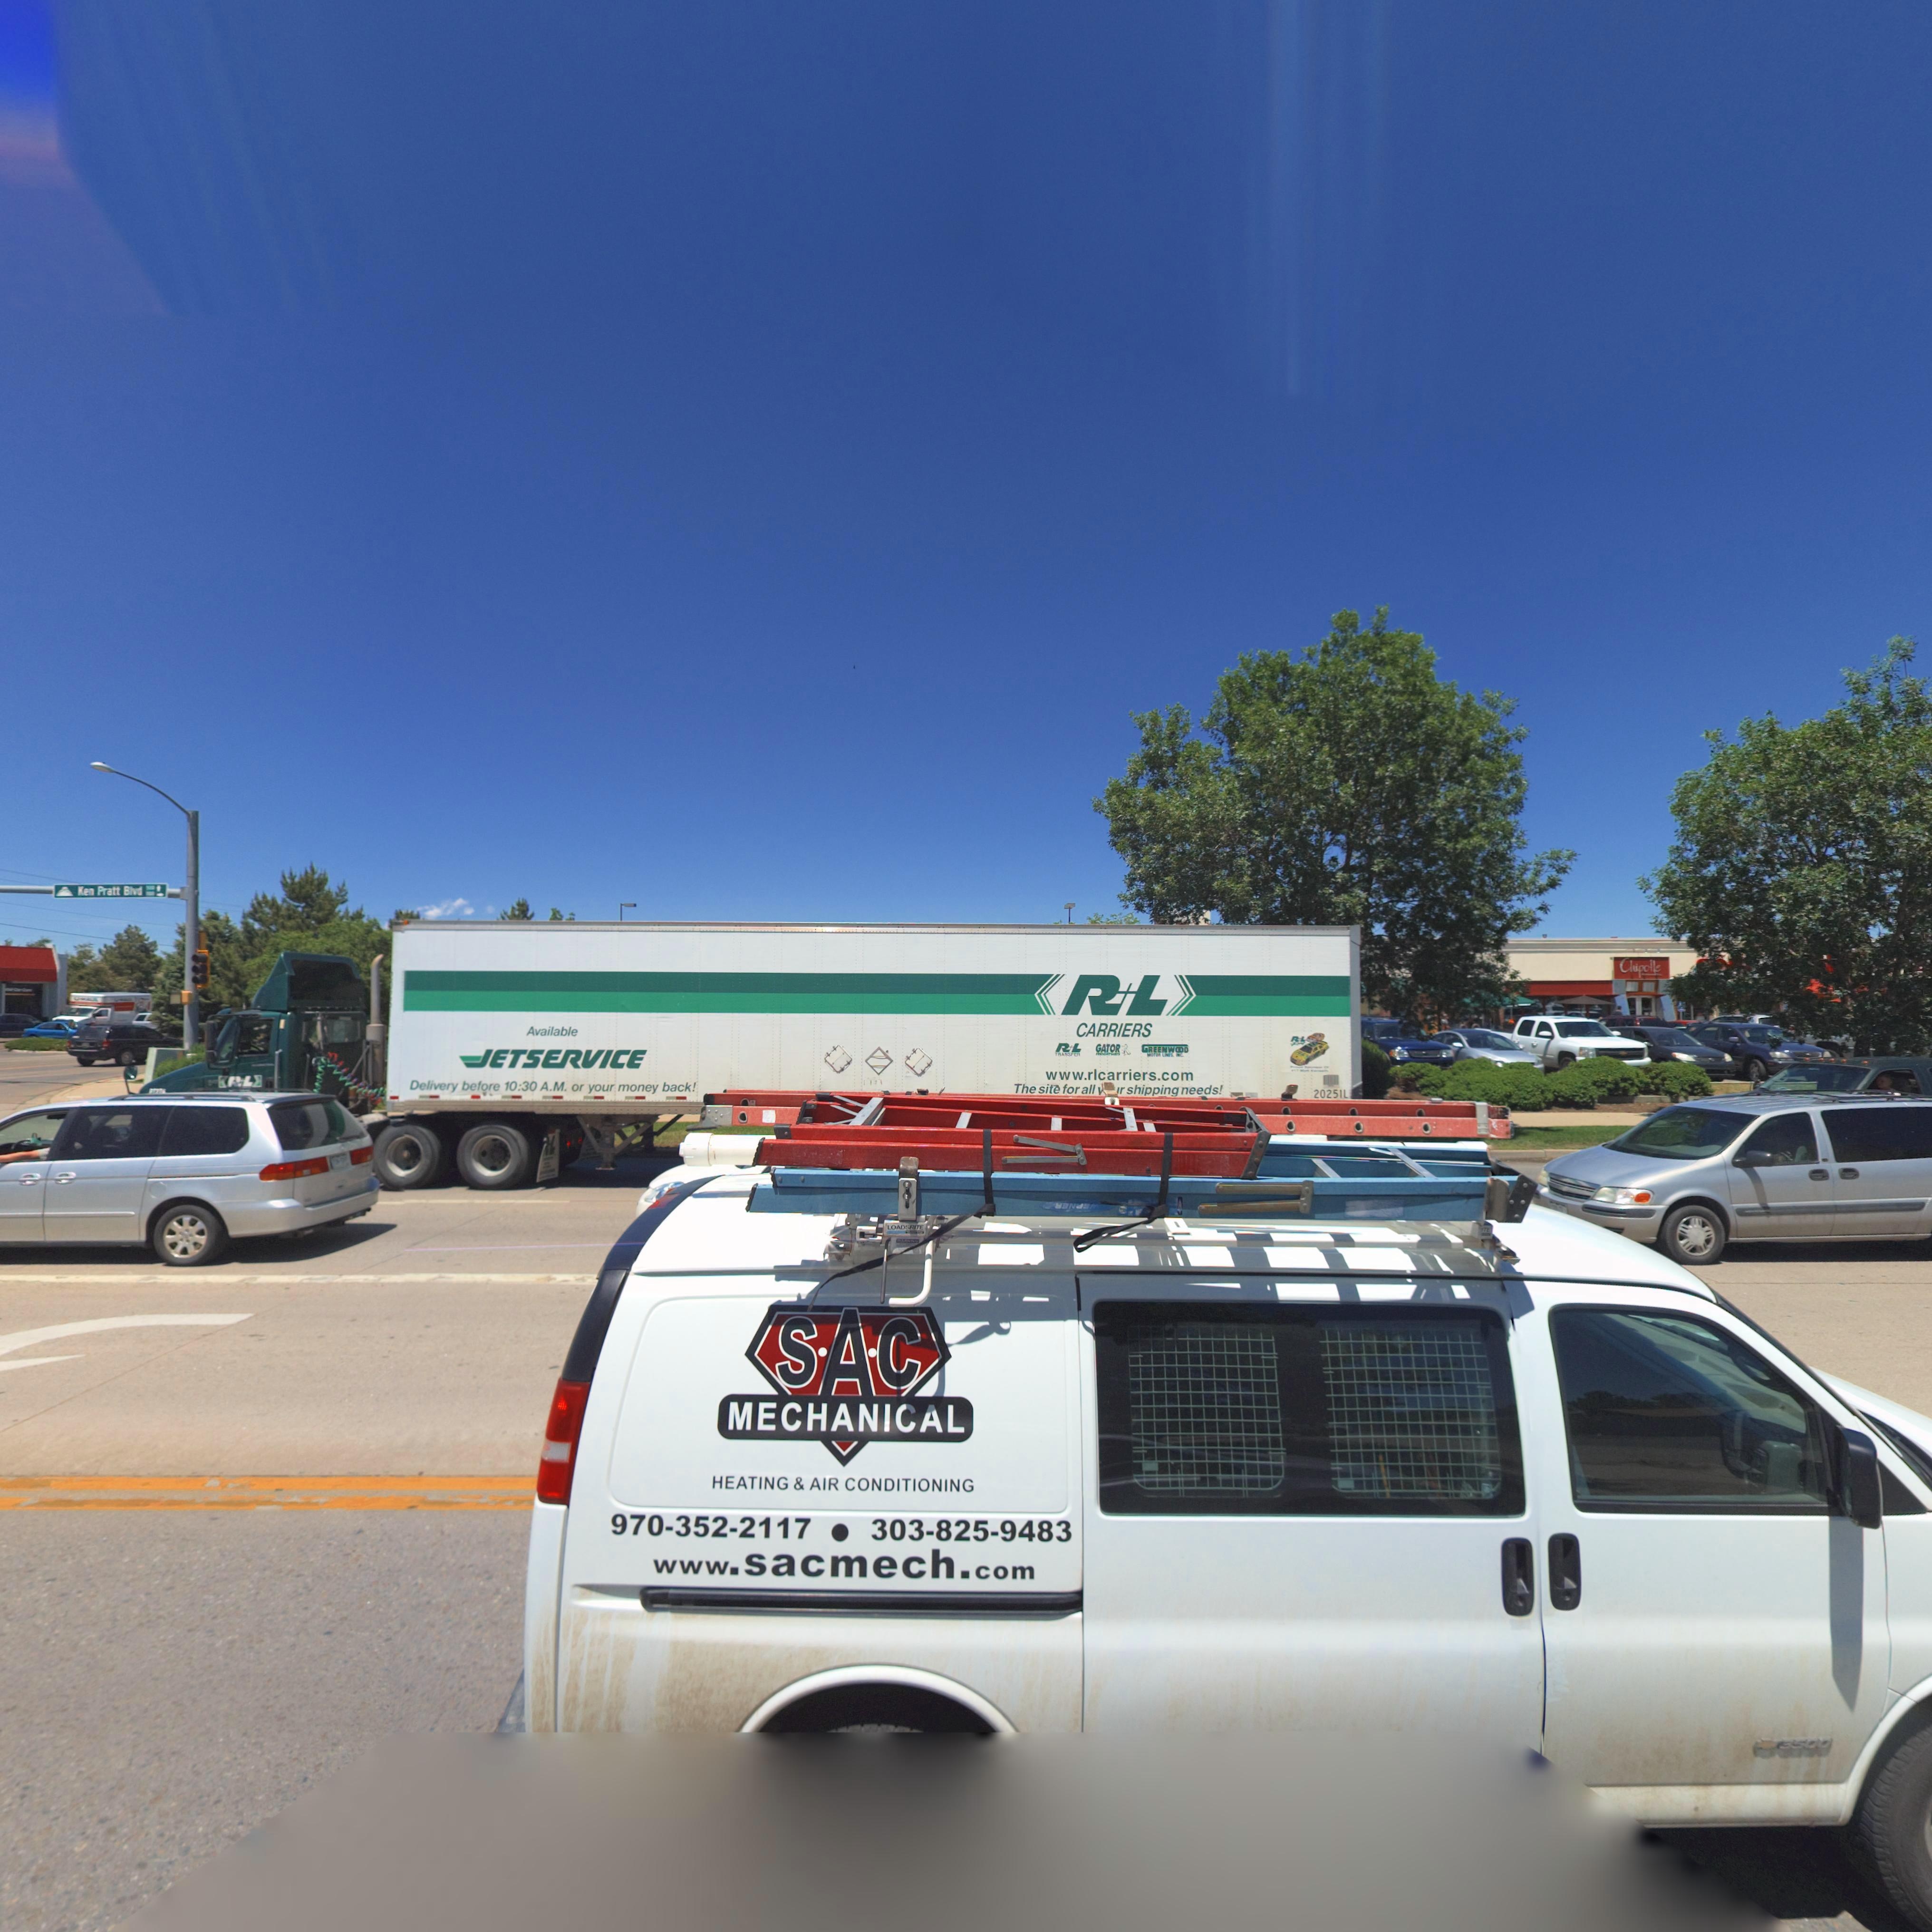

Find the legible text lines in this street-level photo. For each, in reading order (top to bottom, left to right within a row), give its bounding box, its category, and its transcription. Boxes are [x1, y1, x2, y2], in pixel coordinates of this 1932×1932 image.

[77, 885, 143, 896] StreetName: Ken Pratt Blvd
[1619, 957, 1662, 978] BusinessName: Chipotle